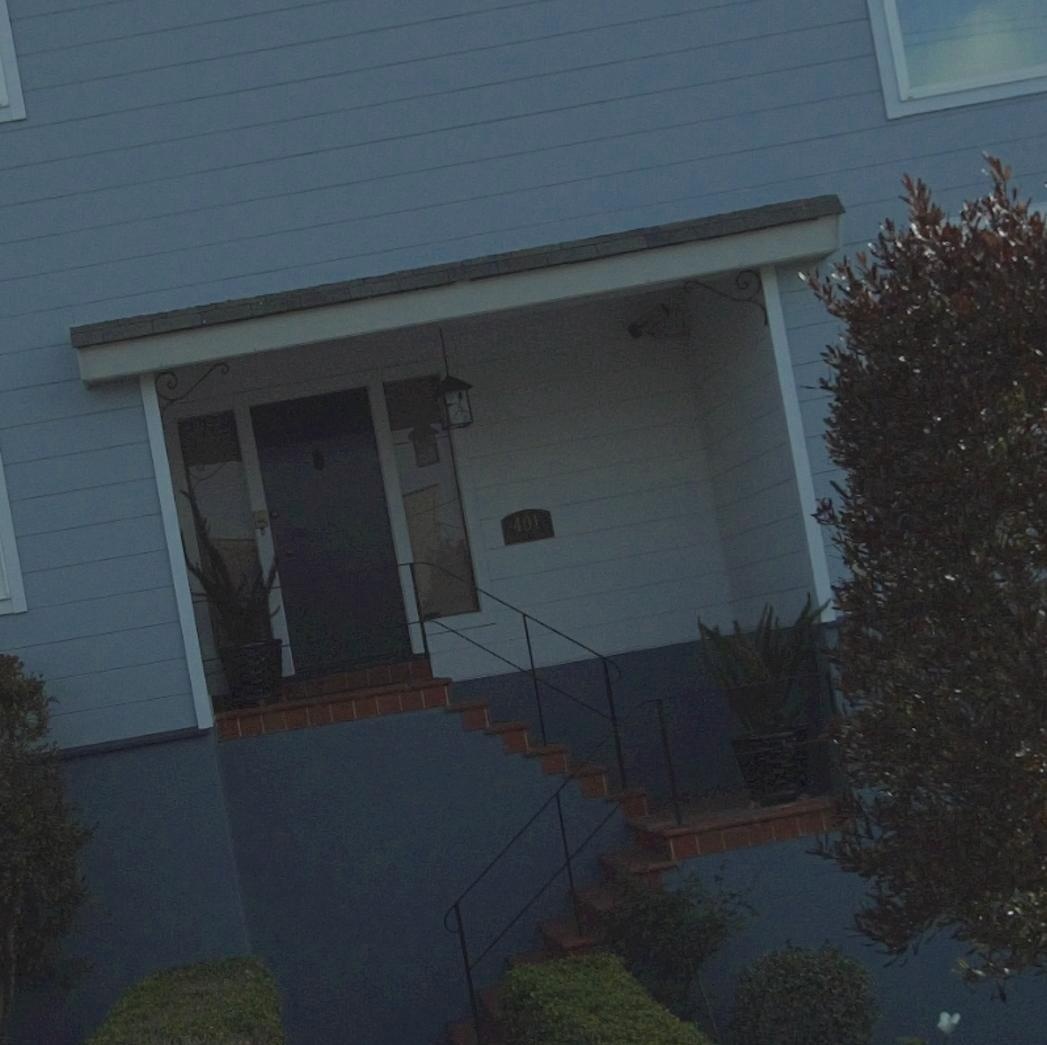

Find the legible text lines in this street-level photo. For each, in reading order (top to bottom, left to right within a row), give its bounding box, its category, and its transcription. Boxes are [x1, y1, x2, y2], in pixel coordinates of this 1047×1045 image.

[510, 512, 541, 535] StreetNumber: 401